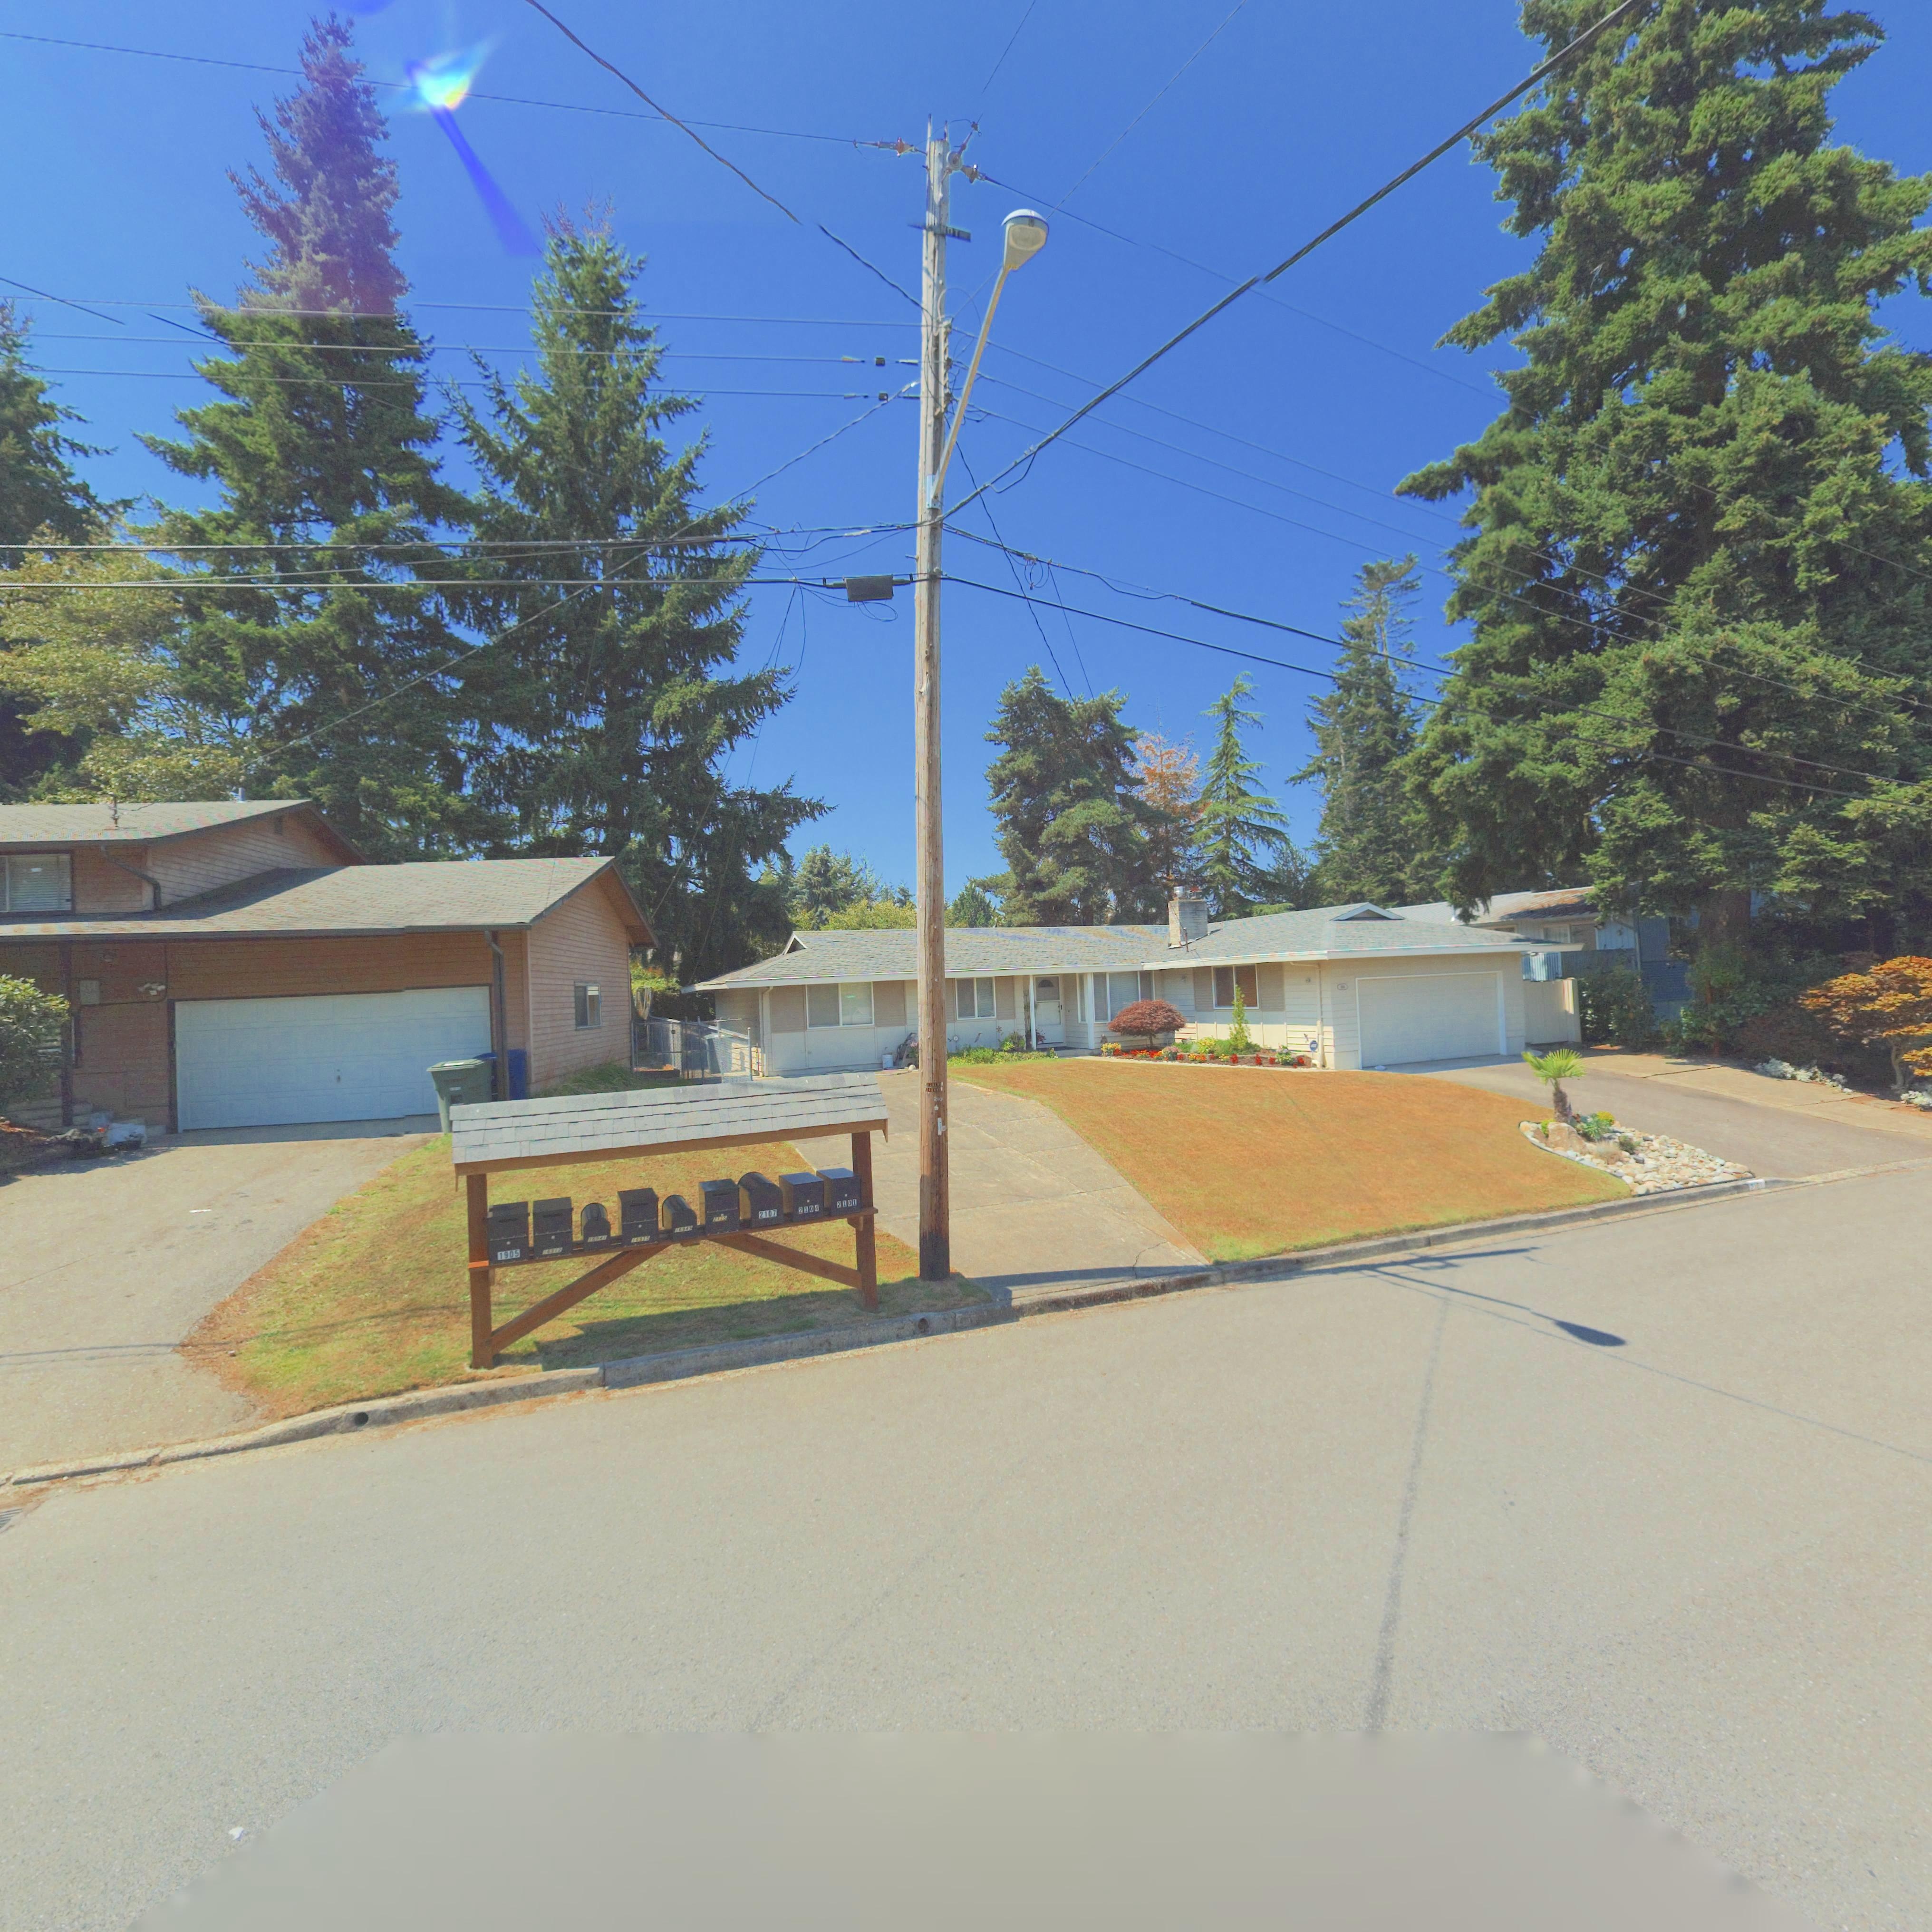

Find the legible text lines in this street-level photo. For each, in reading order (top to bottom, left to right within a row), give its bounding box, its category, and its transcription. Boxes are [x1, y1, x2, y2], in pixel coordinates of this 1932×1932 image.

[837, 1199, 857, 1207] StreetNumber: 2101
[799, 1204, 819, 1213] StreetNumber: 2104
[759, 1209, 776, 1218] StreetNumber: 2107
[500, 1249, 519, 1259] StreetNumber: 1905